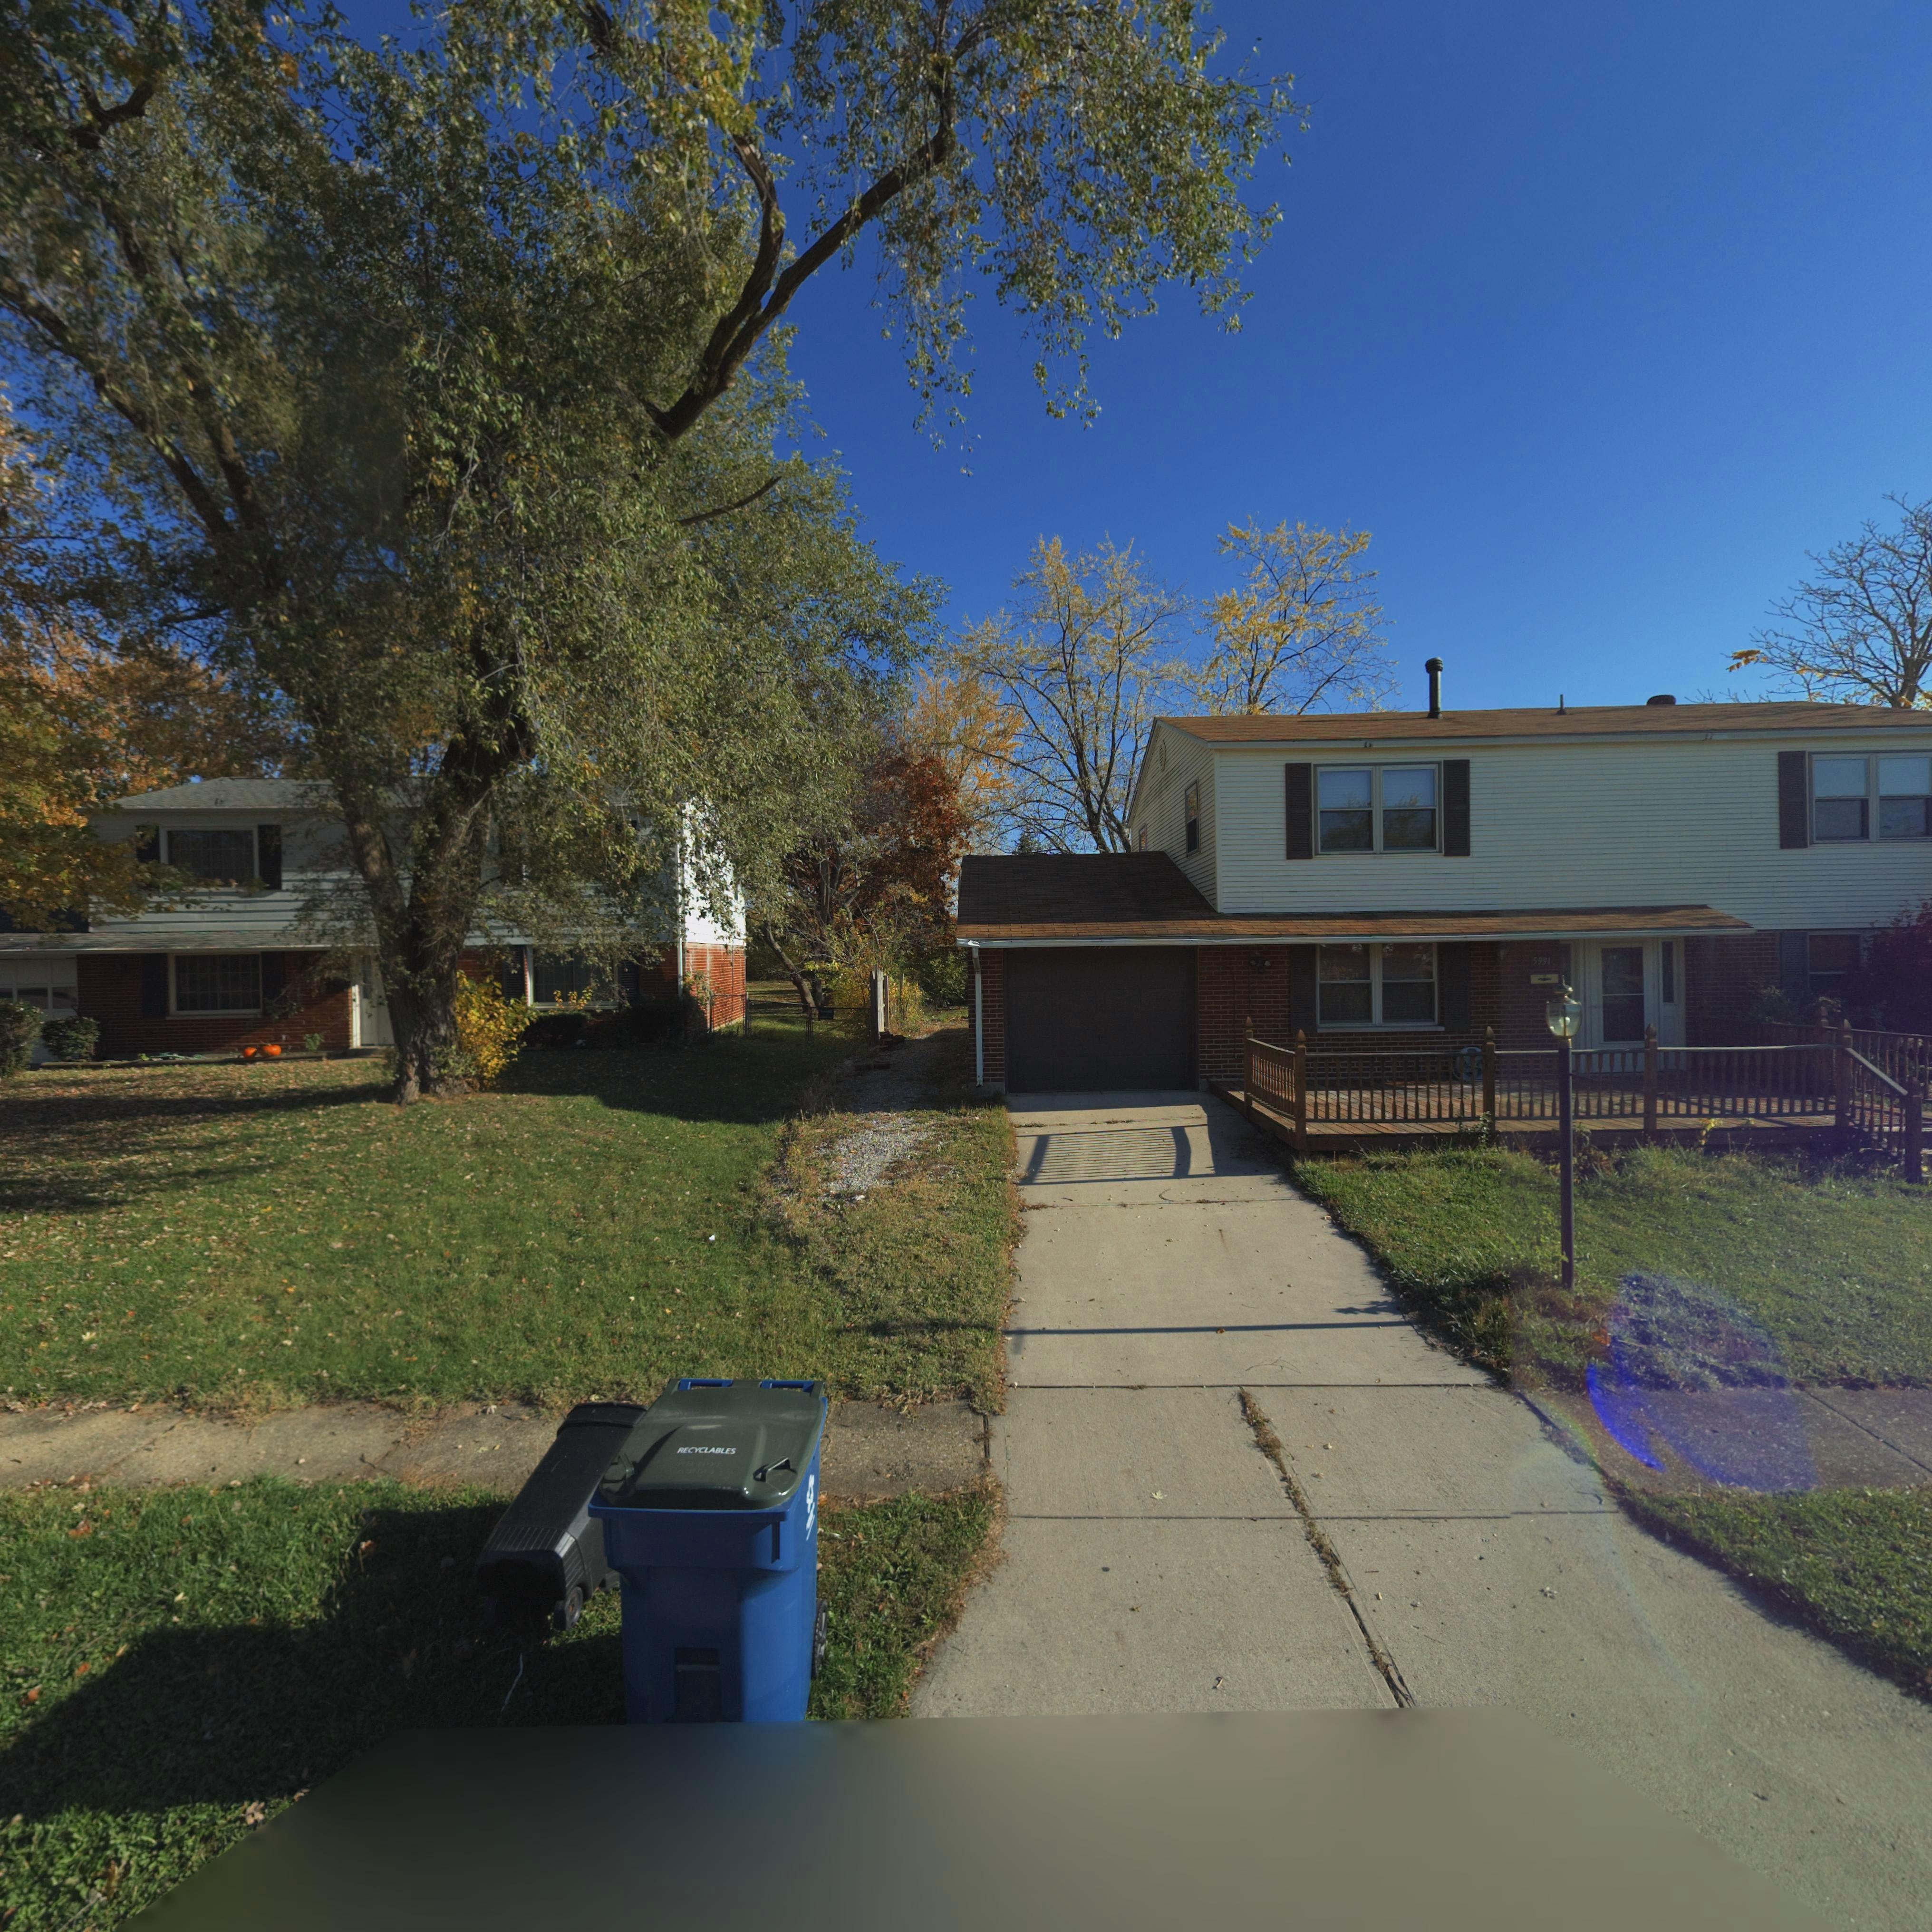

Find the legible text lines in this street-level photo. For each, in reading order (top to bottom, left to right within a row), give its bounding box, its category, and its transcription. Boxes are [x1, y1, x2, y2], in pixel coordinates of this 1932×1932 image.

[1532, 956, 1551, 966] StreetNumber: 5991